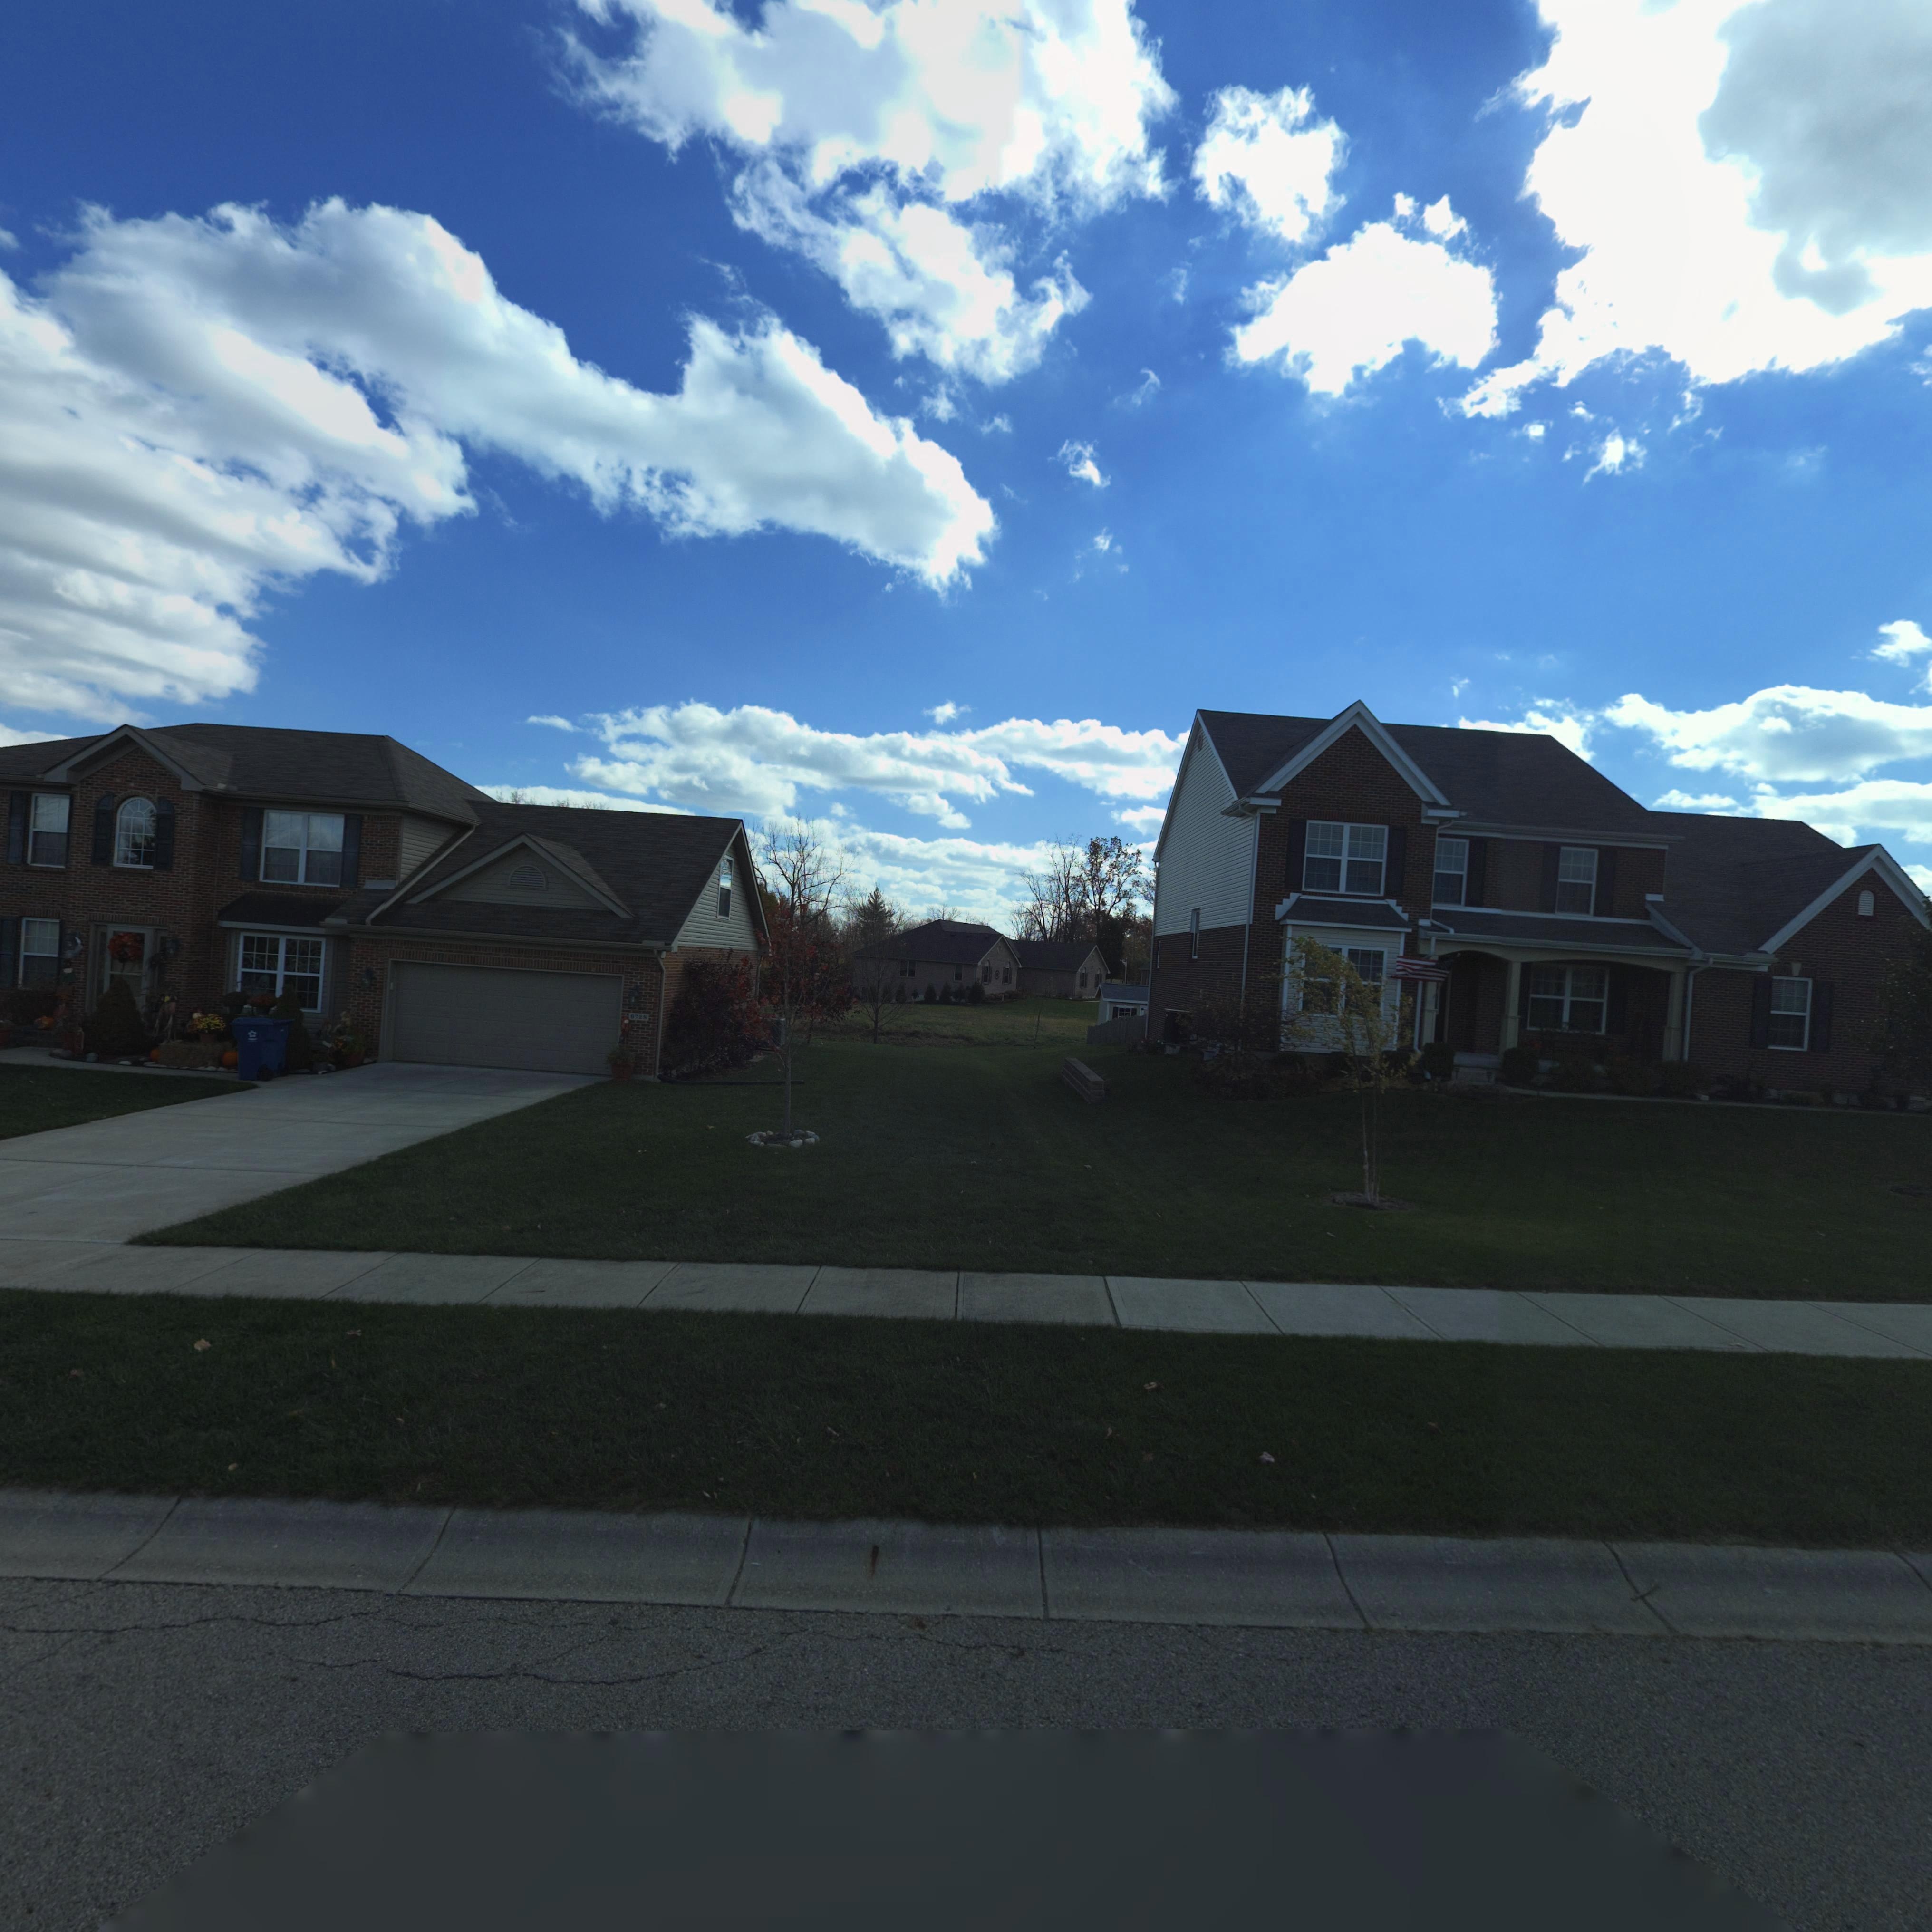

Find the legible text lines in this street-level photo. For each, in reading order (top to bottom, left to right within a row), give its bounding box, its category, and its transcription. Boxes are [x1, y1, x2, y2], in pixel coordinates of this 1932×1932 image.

[629, 1014, 647, 1020] StreetNumber: 6728